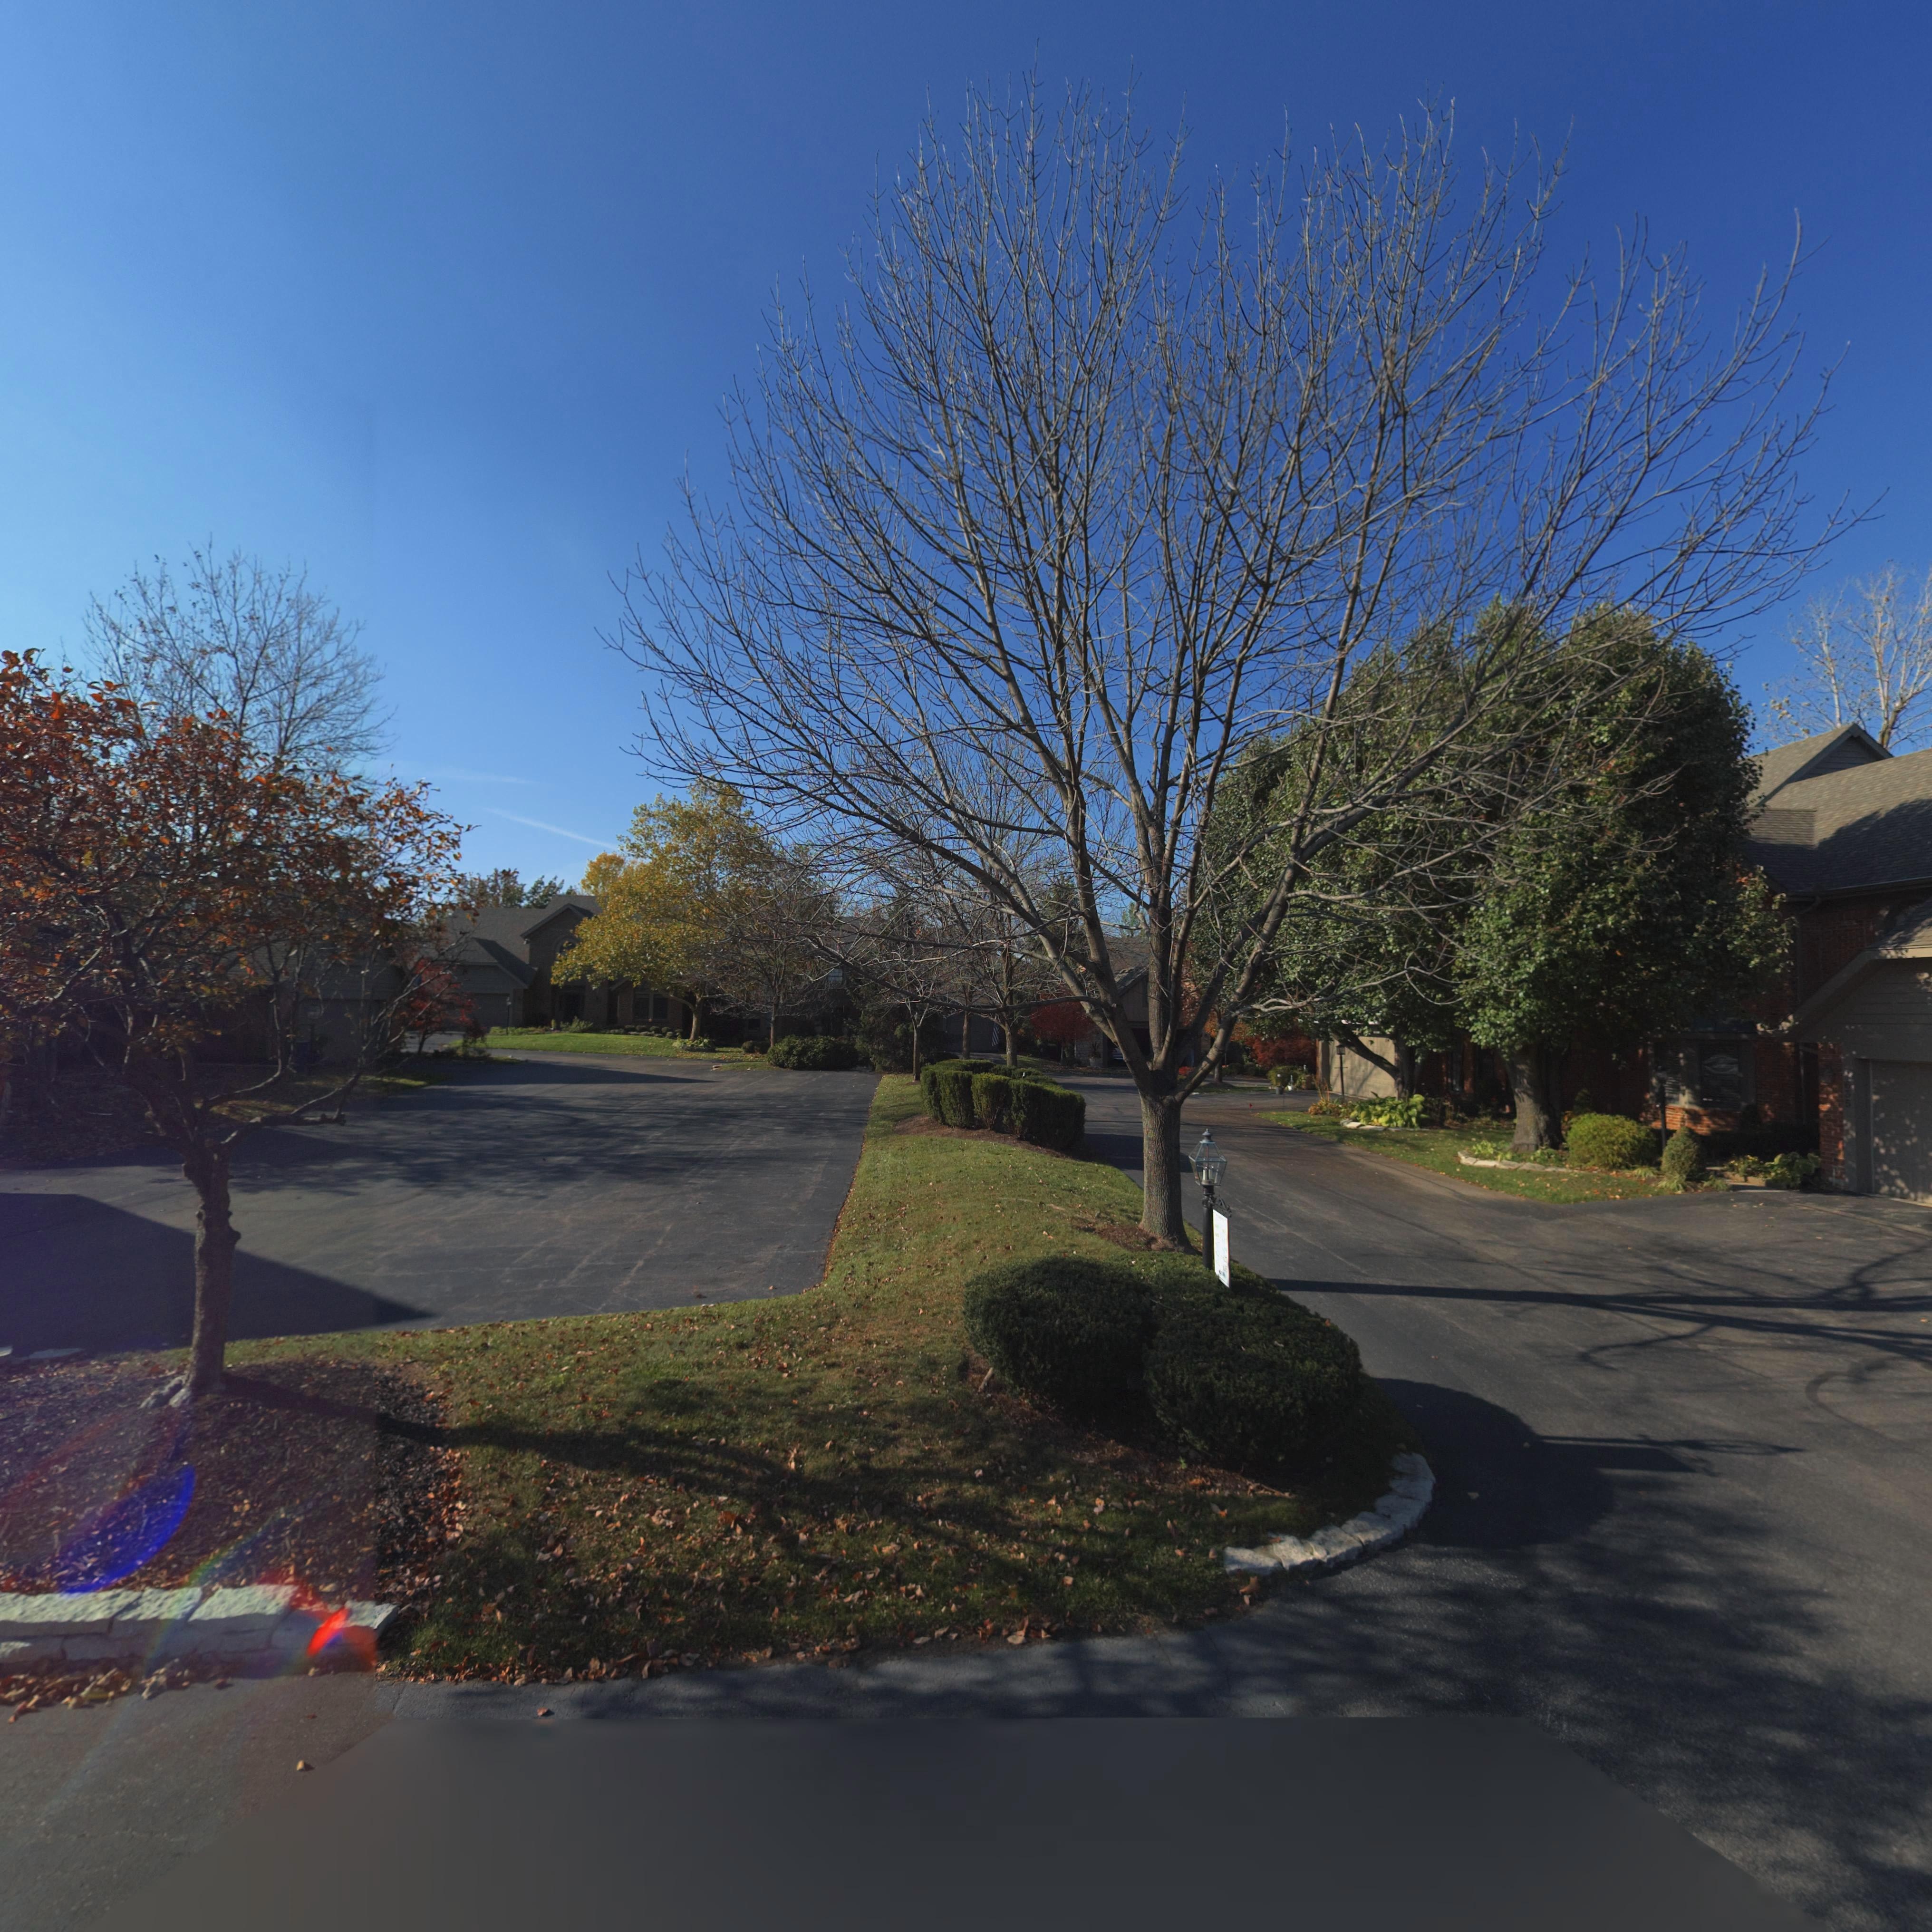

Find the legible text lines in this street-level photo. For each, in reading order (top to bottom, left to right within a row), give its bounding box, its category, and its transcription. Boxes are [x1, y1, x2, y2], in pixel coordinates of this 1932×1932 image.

[1844, 1080, 1852, 1108] StreetNumber: 635